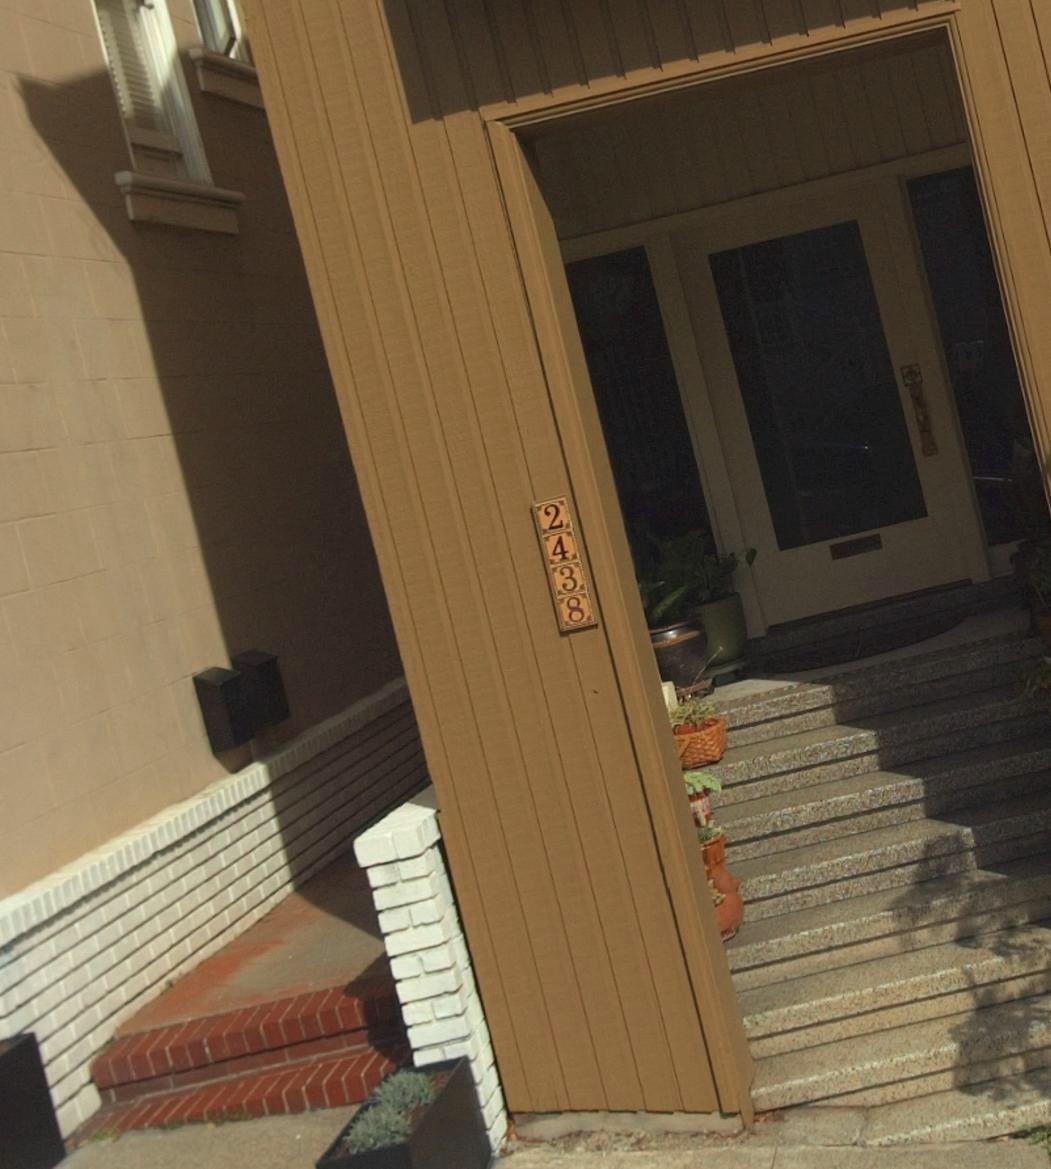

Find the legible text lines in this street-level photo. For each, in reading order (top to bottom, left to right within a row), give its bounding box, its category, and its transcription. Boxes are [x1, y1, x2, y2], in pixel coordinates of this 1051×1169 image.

[539, 499, 589, 626] StreetNumber: 2438